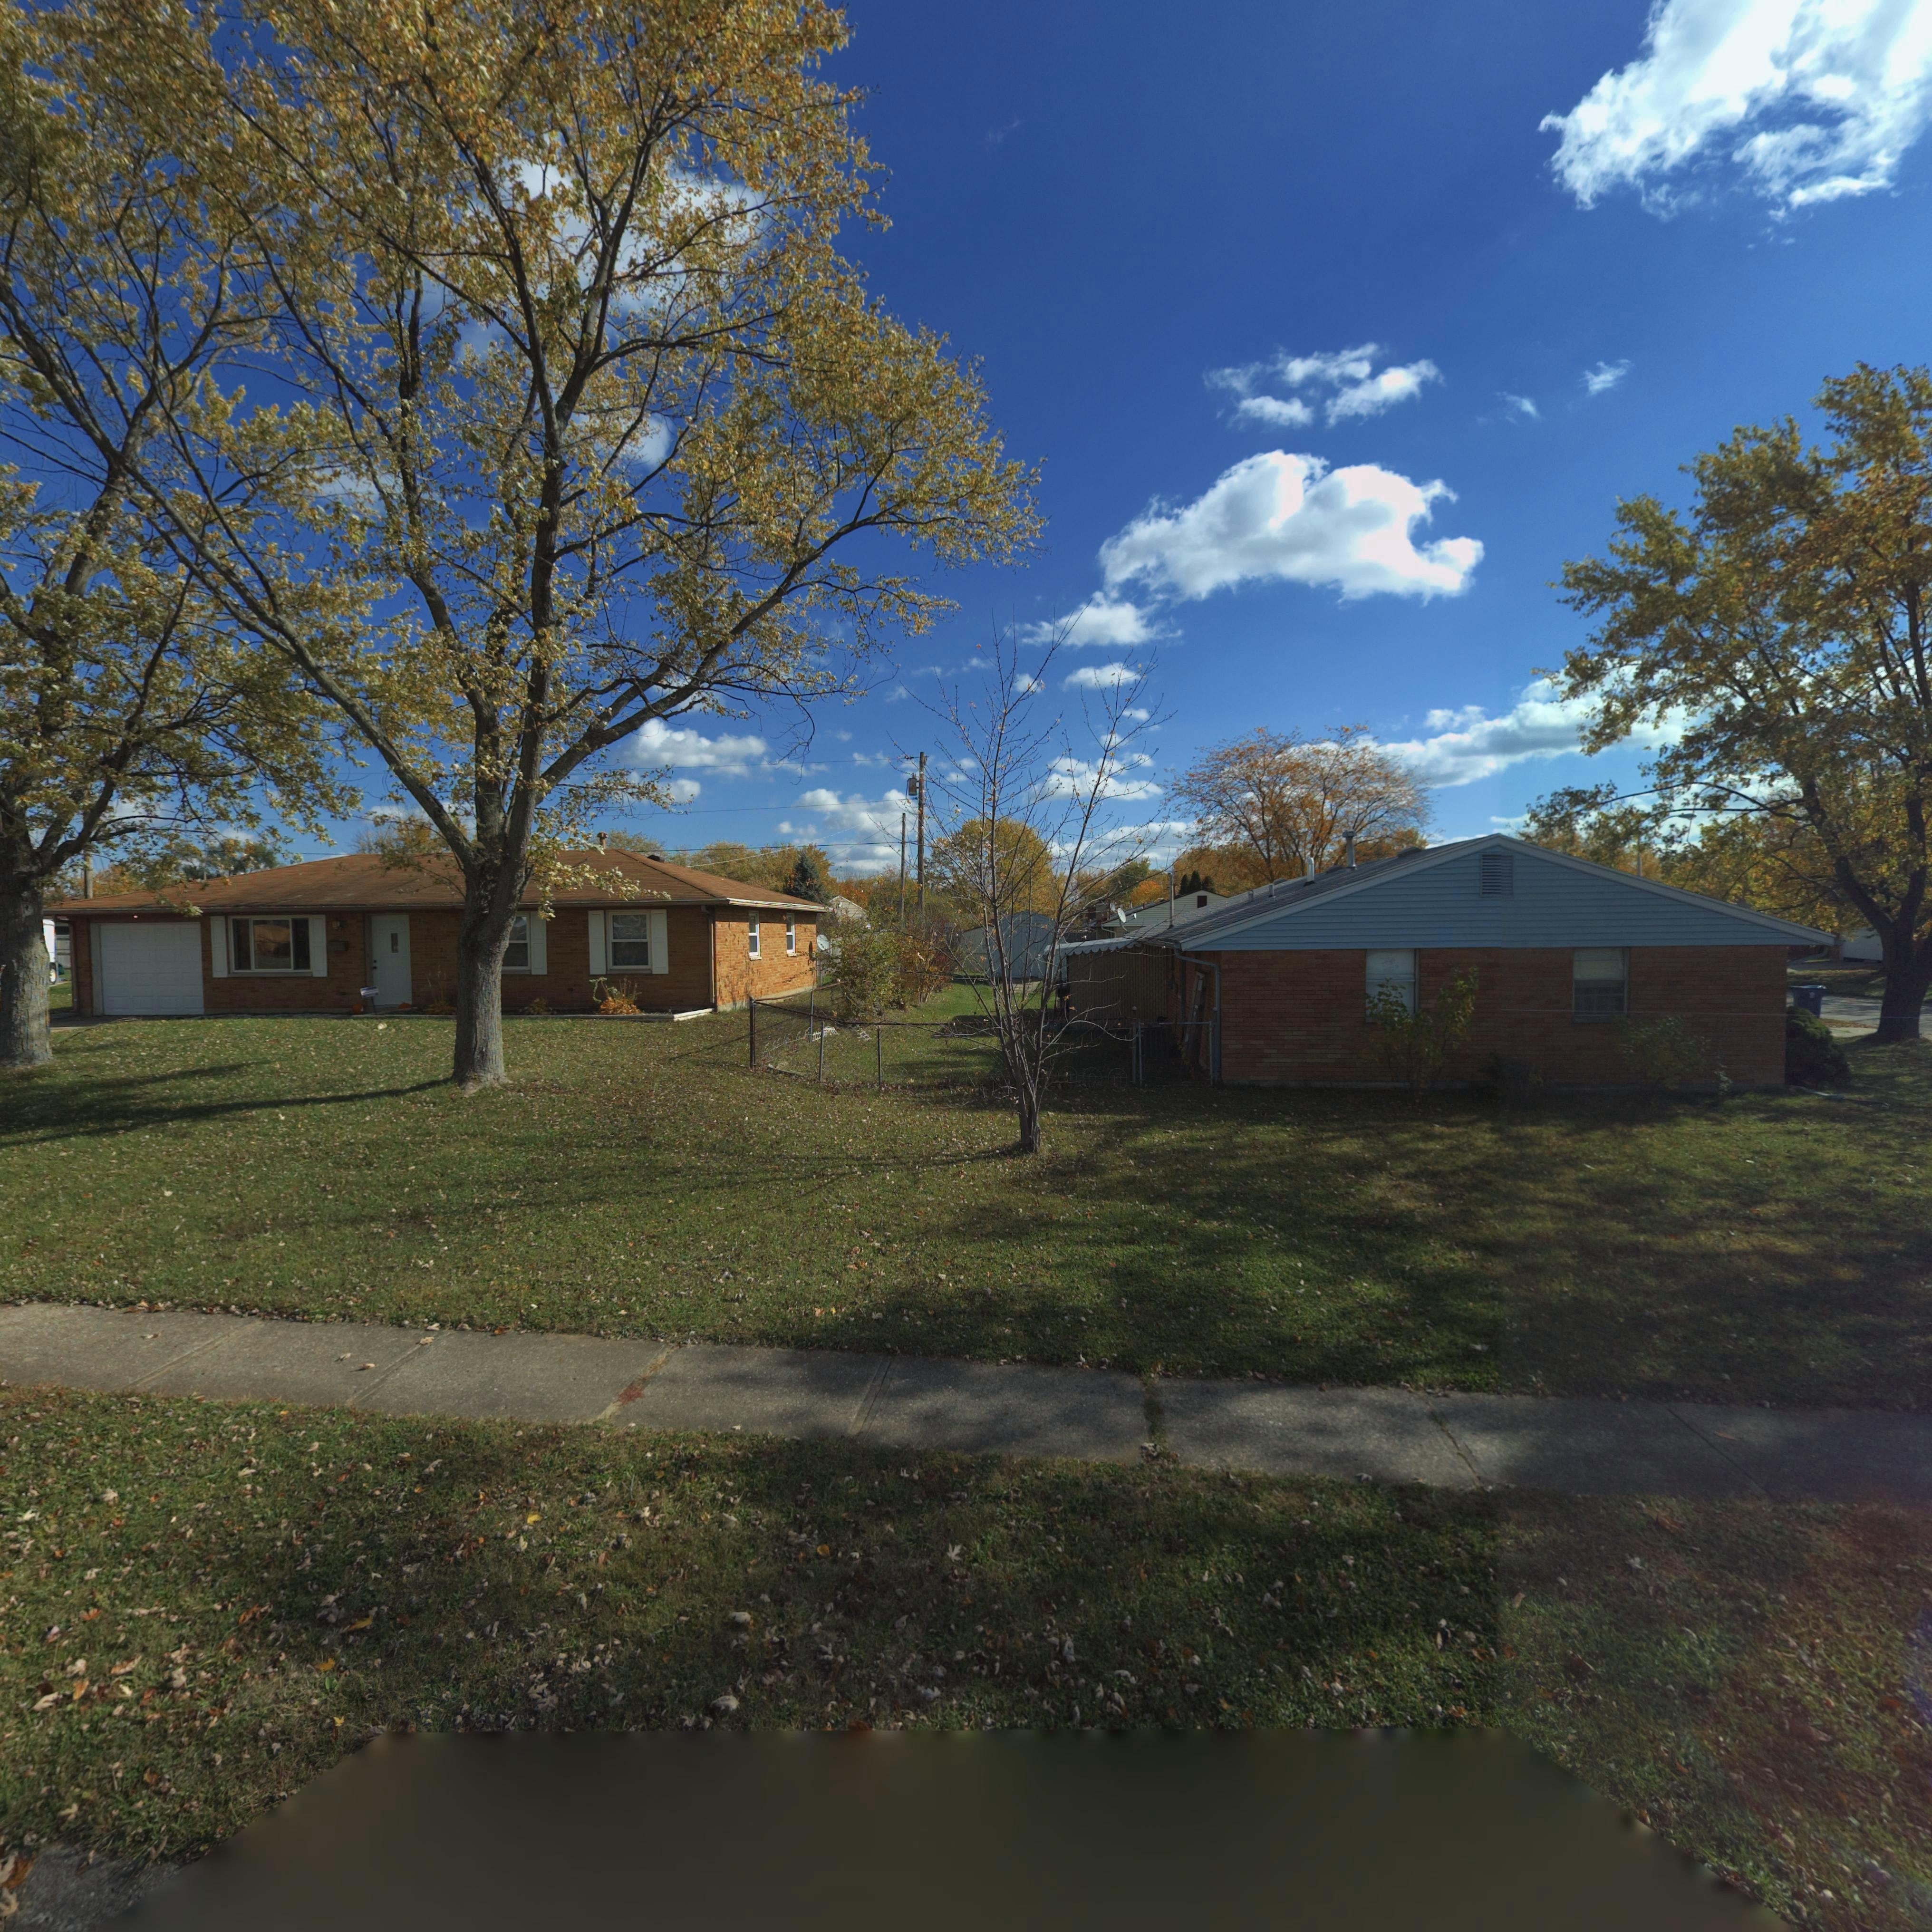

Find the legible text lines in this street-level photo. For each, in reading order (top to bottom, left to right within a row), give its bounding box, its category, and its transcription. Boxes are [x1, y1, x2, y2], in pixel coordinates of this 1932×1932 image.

[417, 918, 444, 953] StreetNumber: 7612